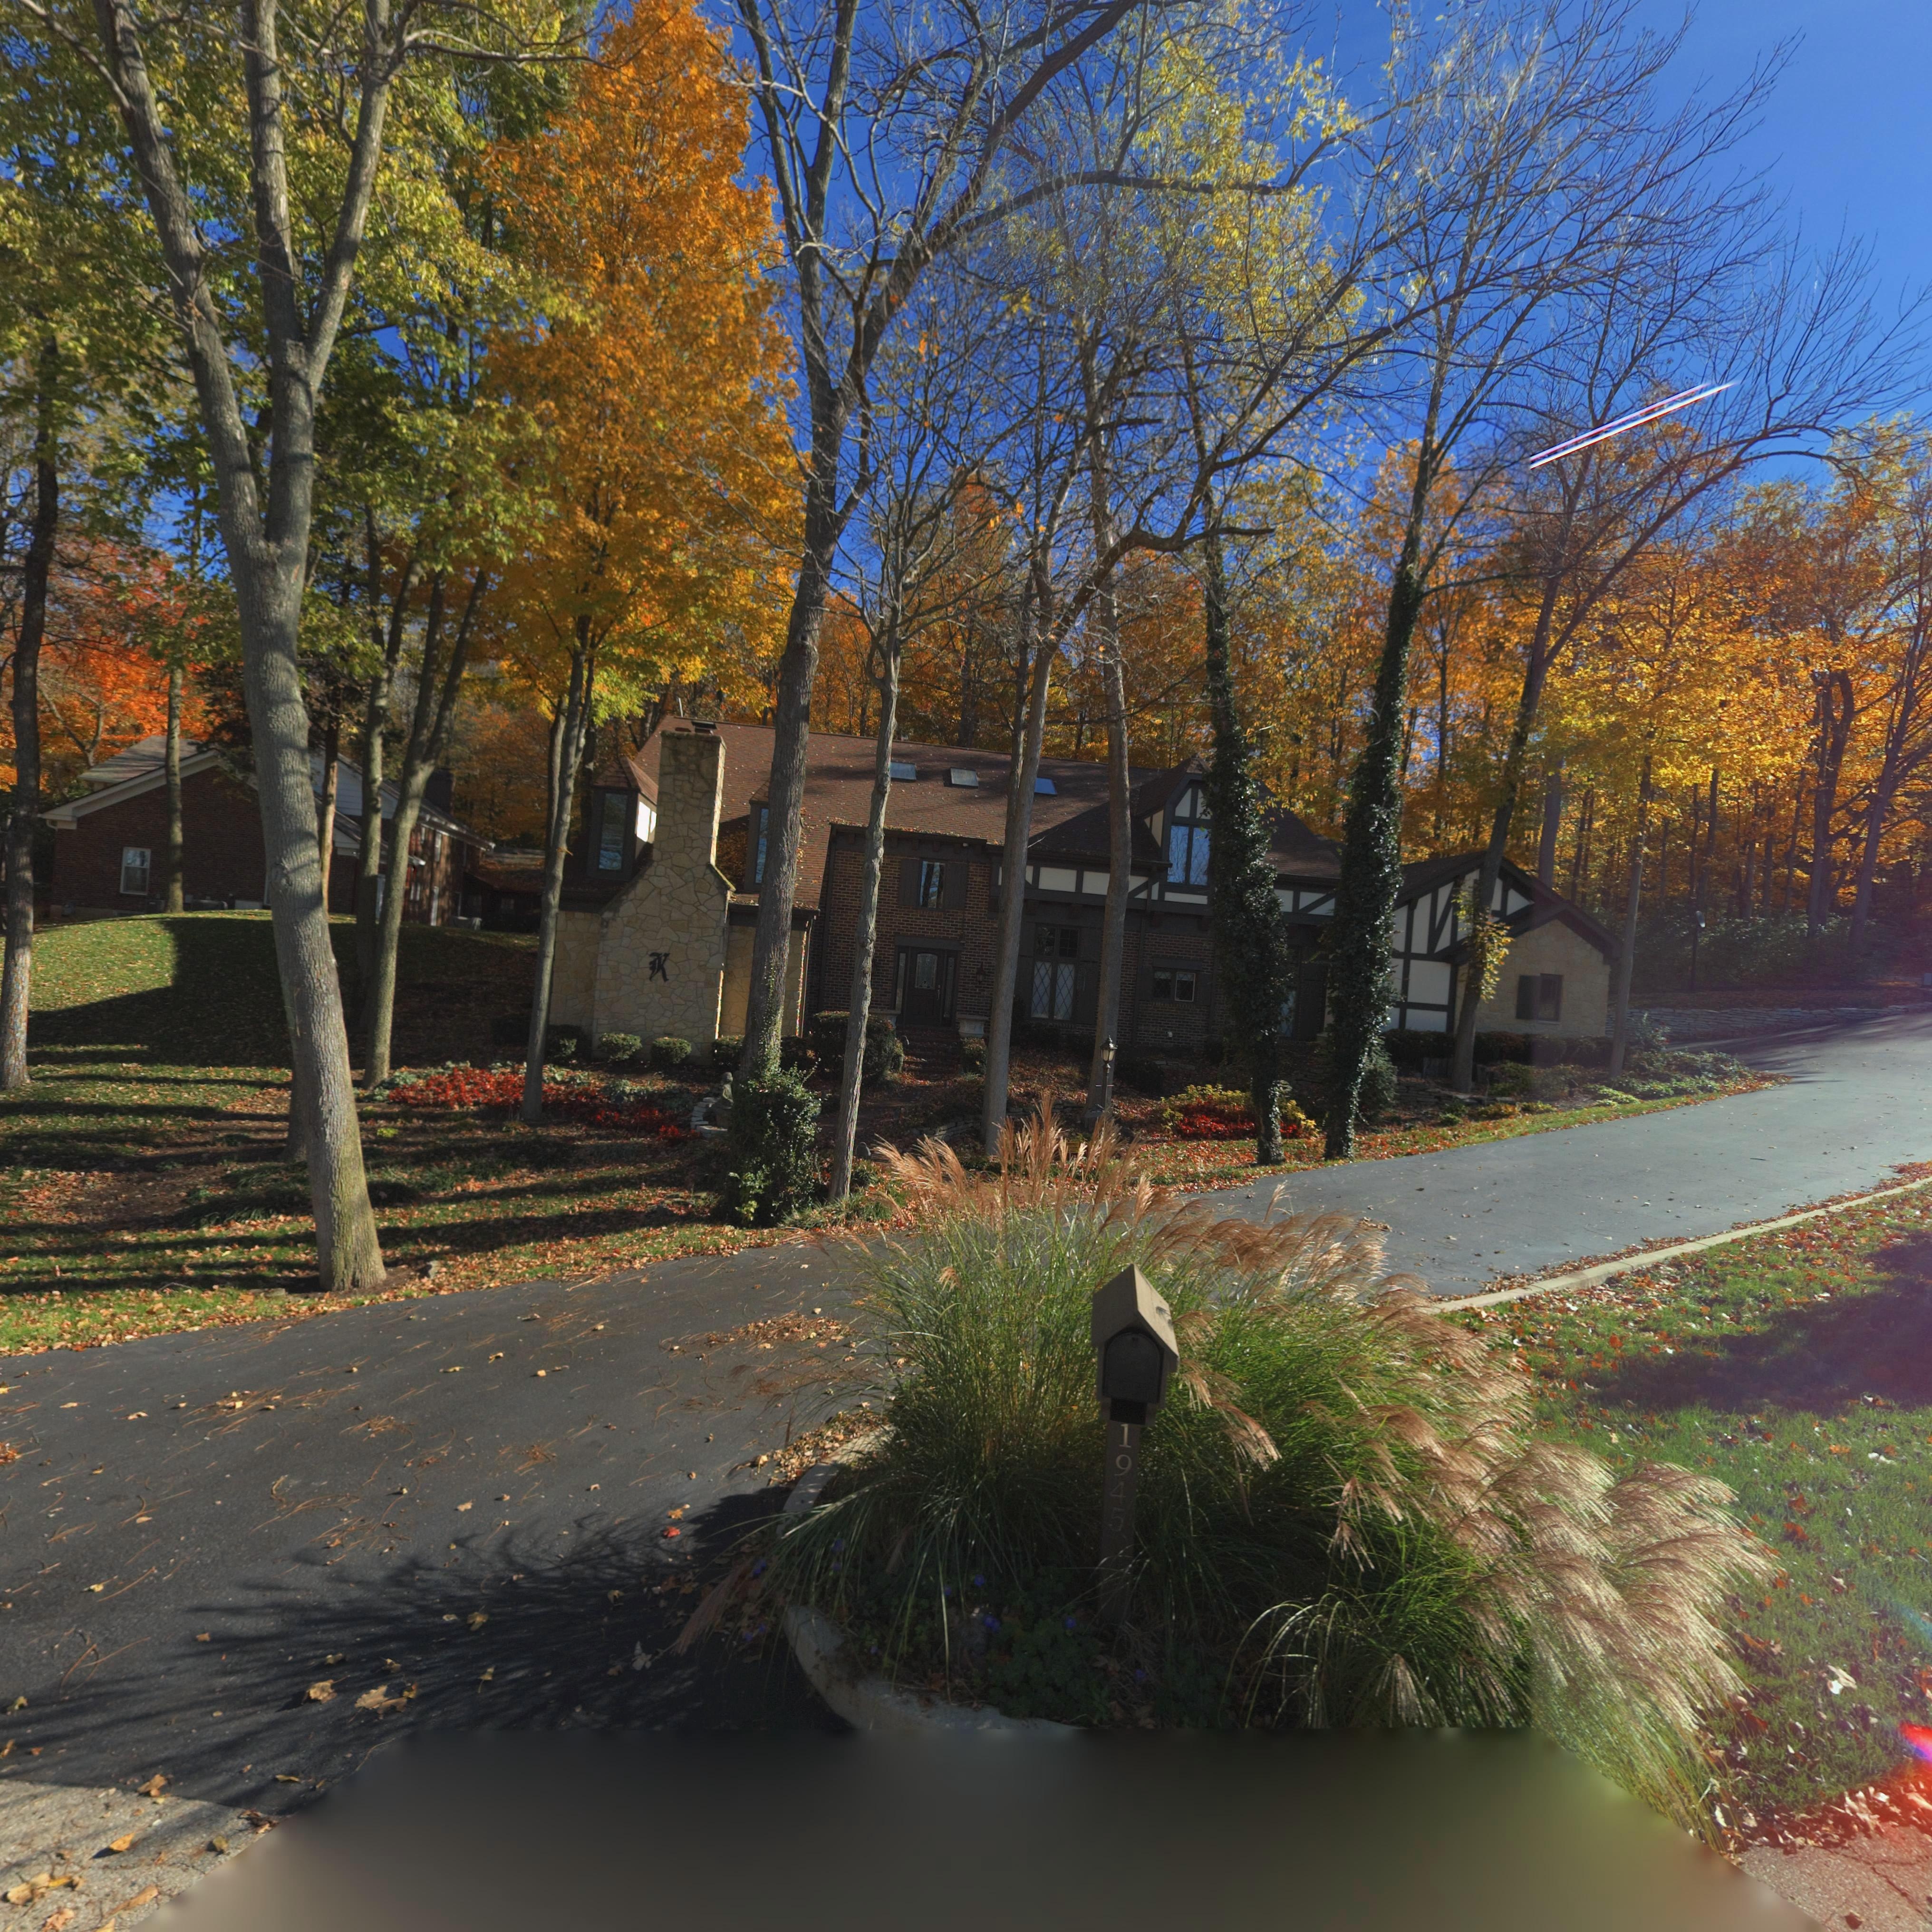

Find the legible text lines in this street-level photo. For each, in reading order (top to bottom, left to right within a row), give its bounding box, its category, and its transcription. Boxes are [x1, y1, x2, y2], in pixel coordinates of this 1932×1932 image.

[1107, 1421, 1134, 1535] StreetNumber: 1945